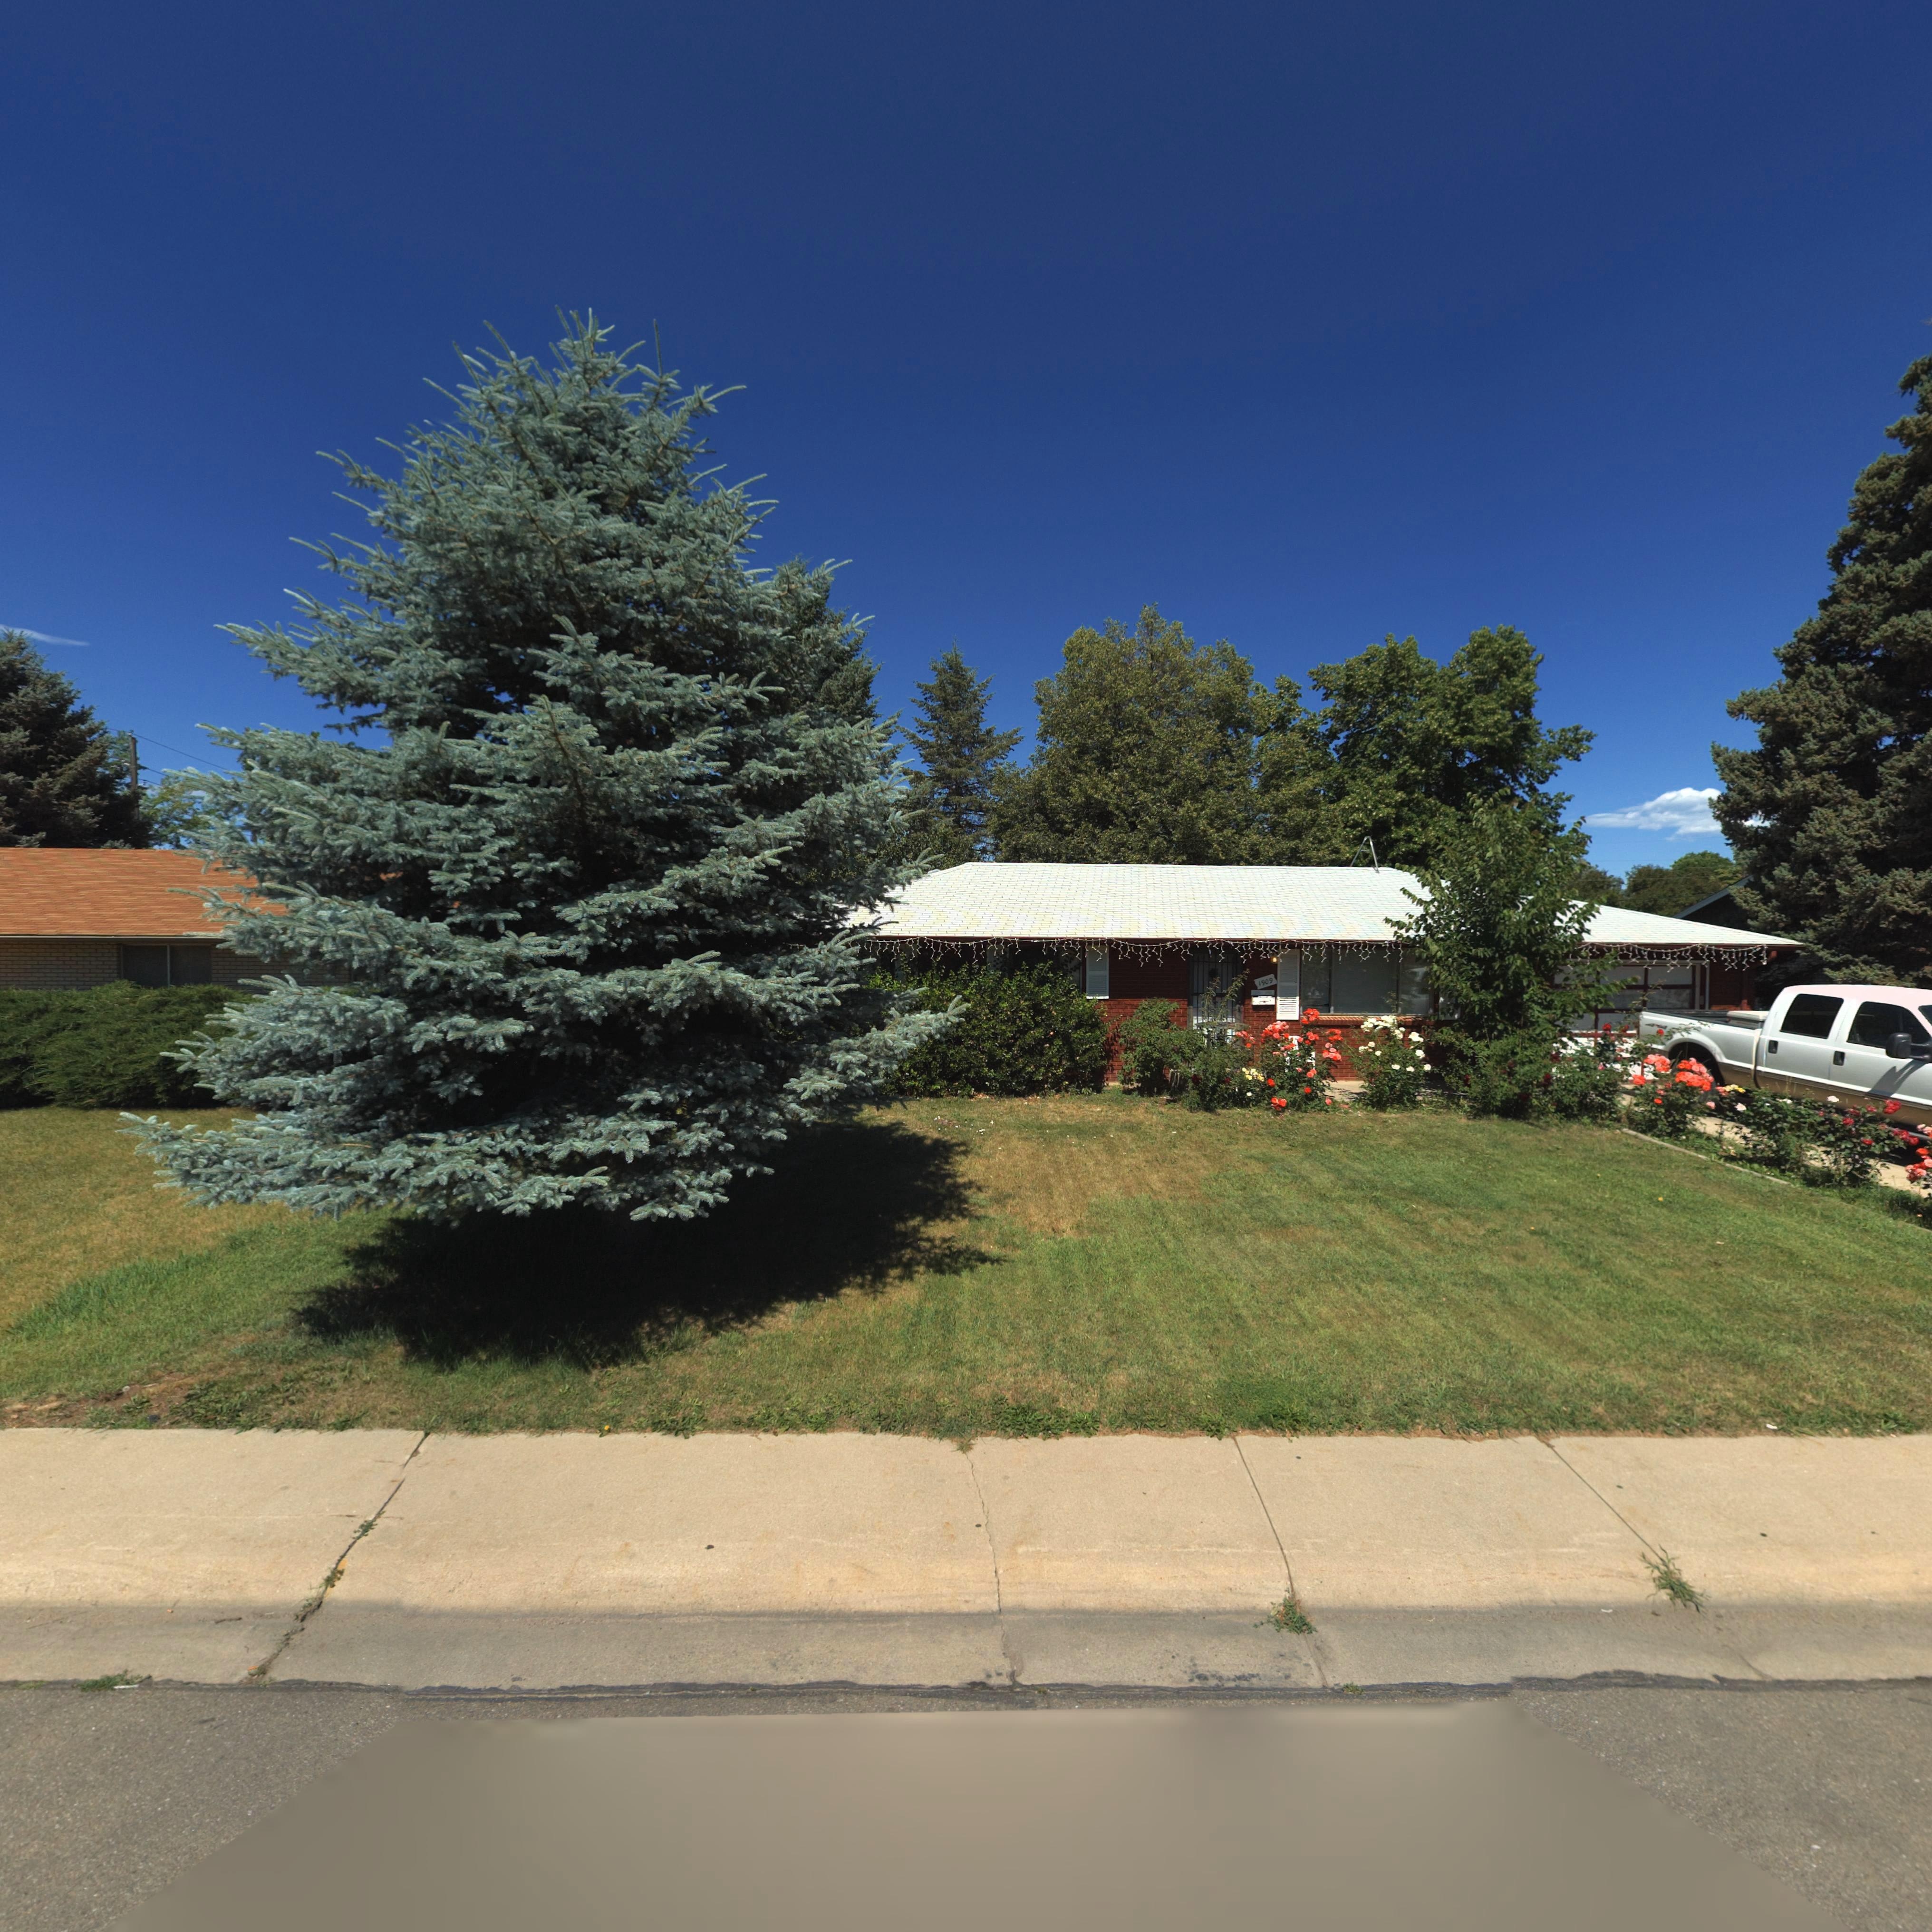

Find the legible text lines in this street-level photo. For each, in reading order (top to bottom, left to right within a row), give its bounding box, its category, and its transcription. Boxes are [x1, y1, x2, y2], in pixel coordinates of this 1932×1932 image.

[1258, 976, 1273, 986] StreetNumber: 1909